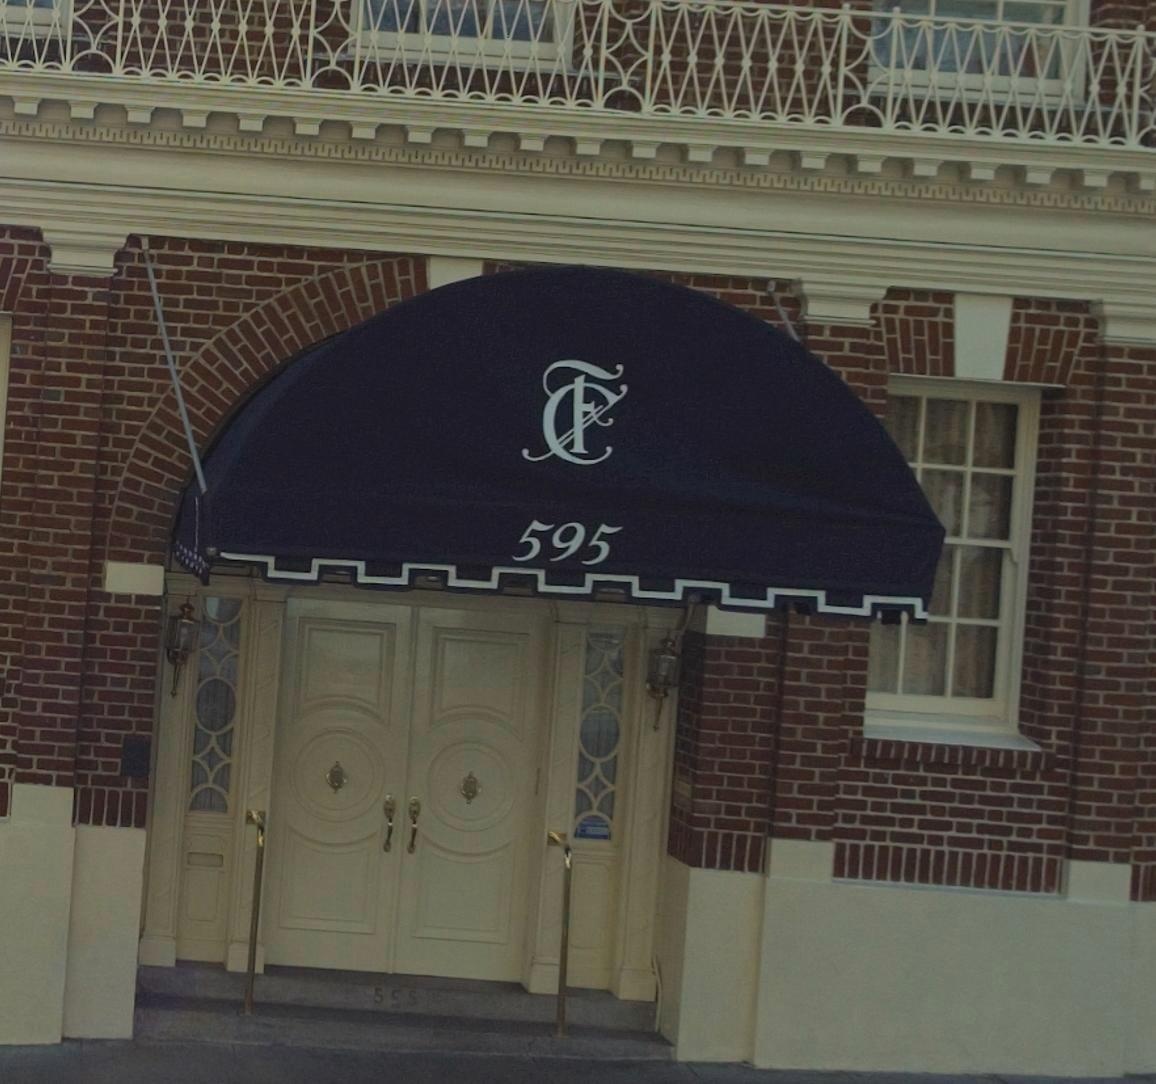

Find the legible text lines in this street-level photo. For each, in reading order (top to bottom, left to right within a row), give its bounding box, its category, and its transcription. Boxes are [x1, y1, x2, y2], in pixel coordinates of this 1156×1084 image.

[501, 513, 631, 570] StreetNumber: 595